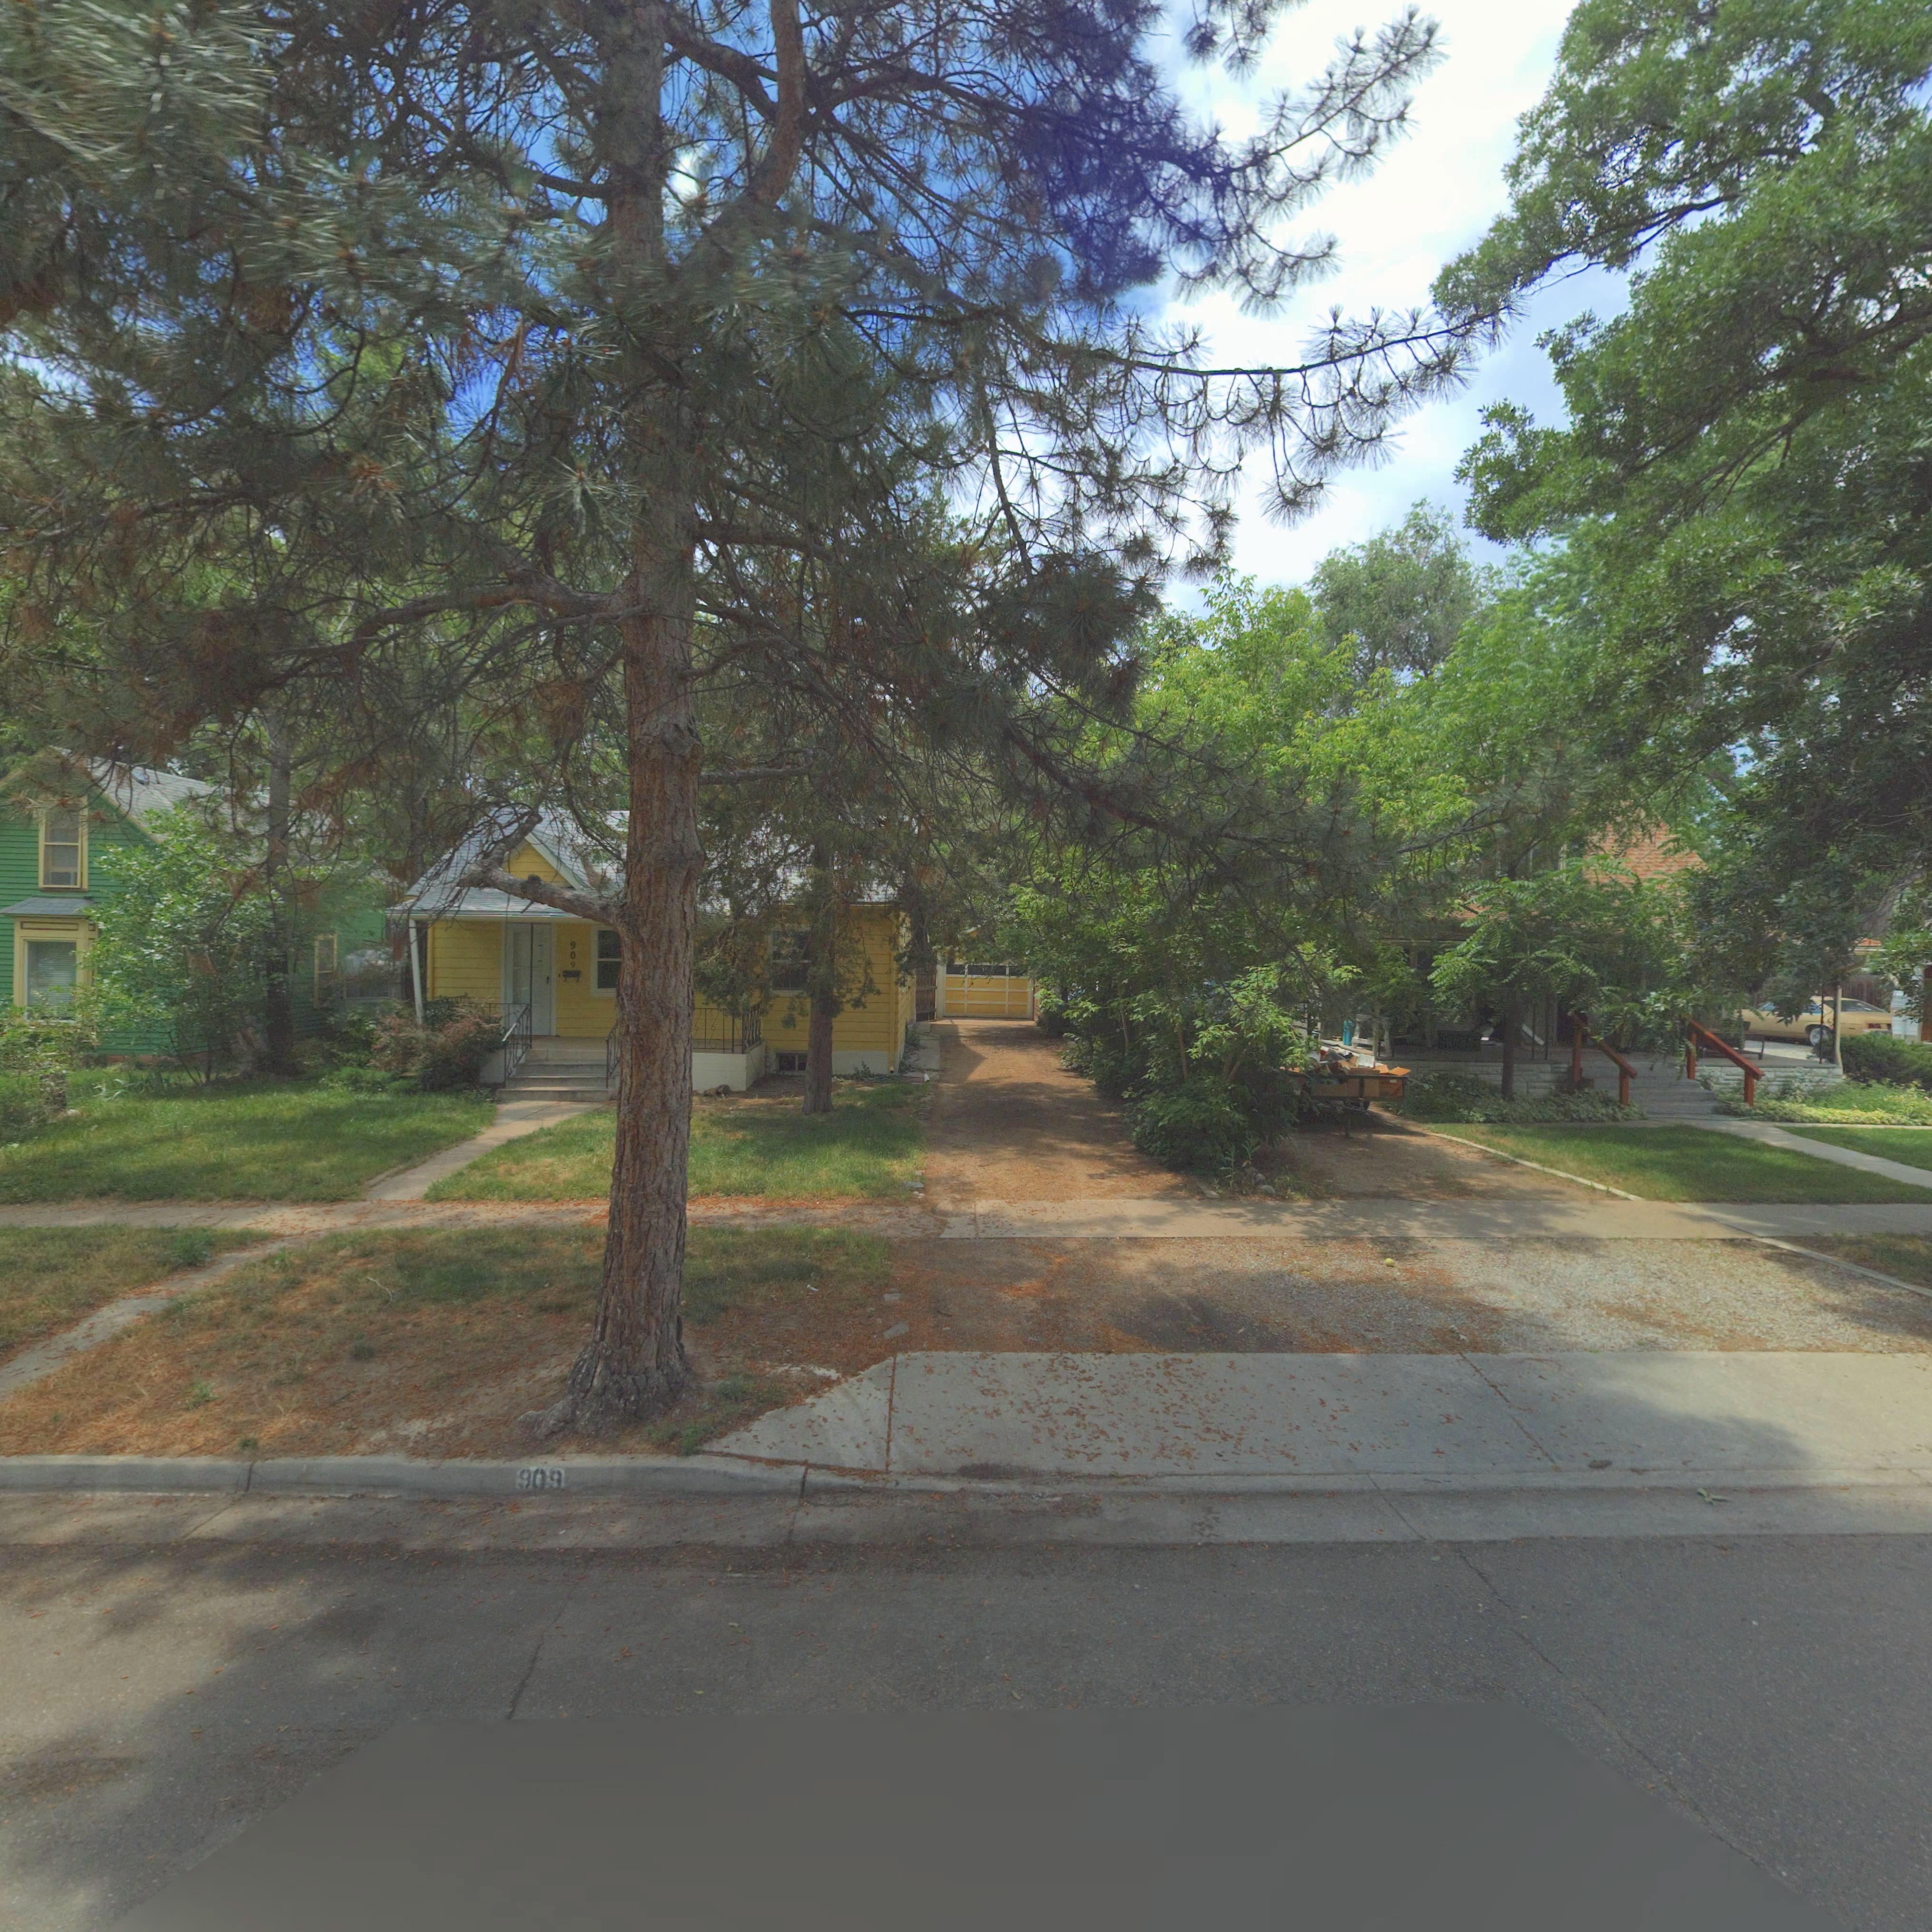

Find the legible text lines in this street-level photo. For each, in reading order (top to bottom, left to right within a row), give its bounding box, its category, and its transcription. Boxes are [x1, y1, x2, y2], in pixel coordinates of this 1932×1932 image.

[570, 941, 576, 969] StreetNumber: 909
[518, 1468, 563, 1490] StreetNumber: 909